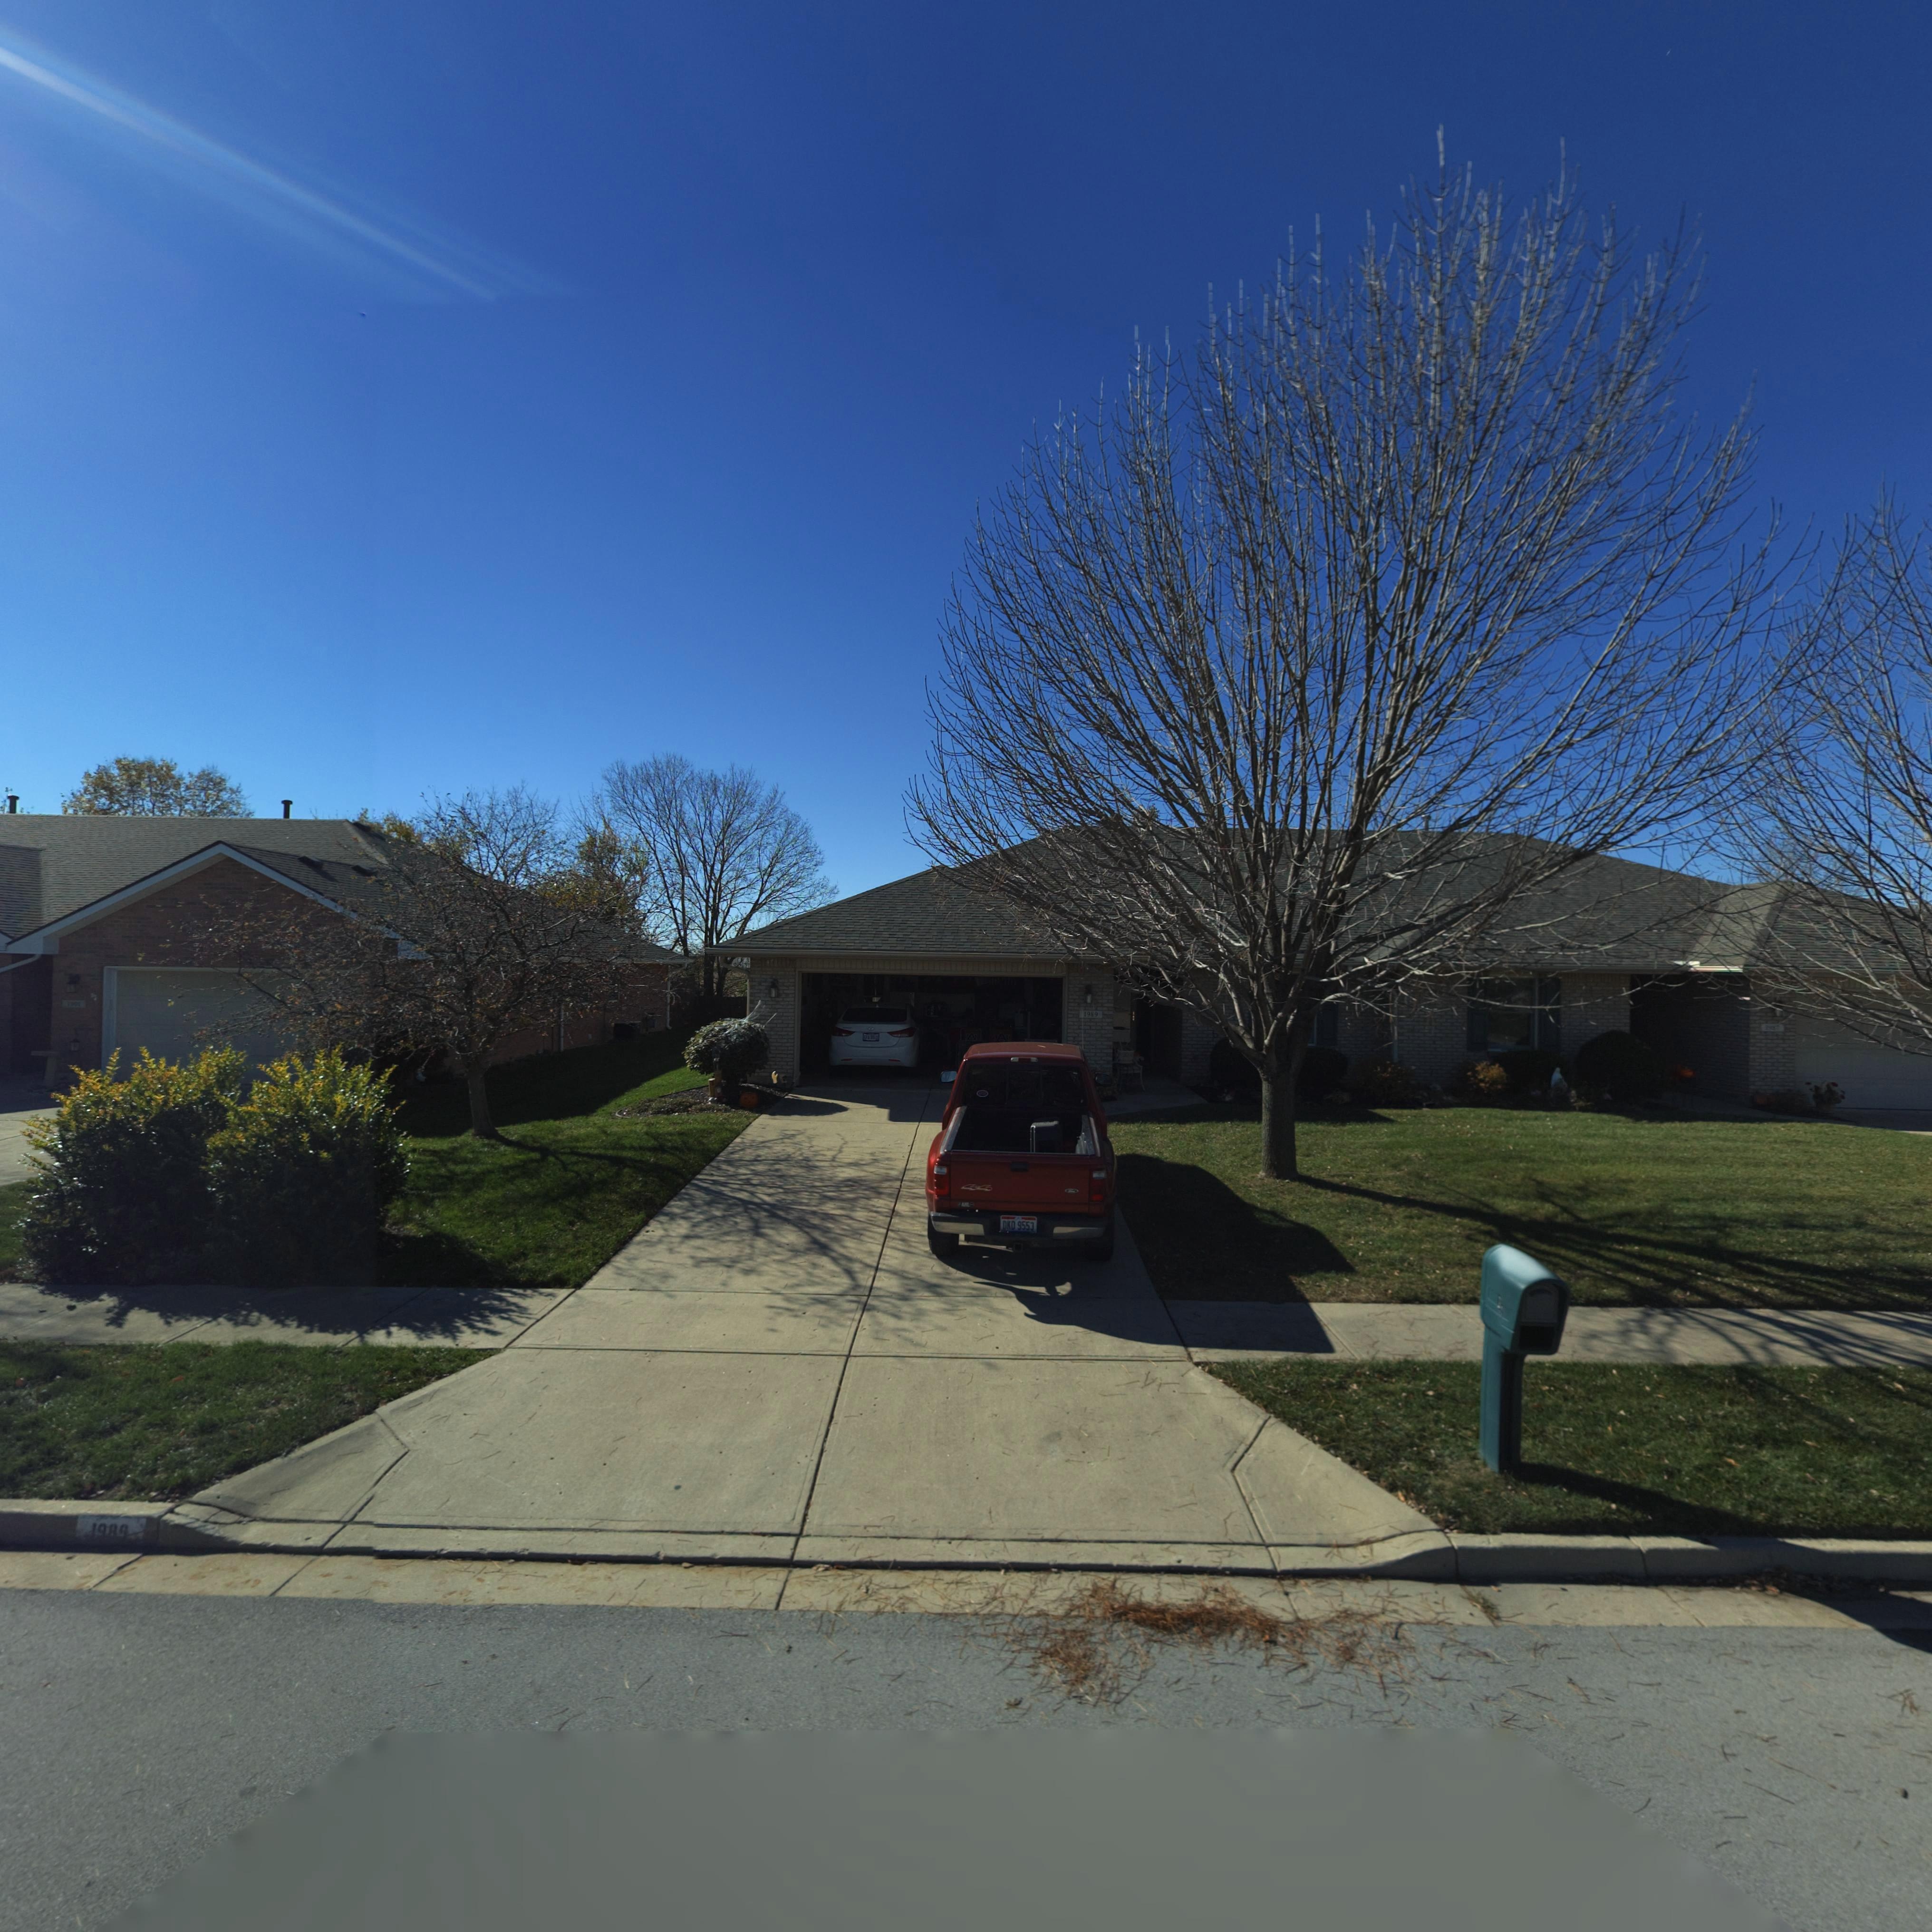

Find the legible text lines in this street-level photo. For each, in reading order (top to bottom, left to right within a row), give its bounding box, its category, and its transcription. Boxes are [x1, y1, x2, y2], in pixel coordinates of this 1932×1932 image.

[1083, 1011, 1099, 1017] StreetNumber: 1989
[89, 1521, 130, 1541] StreetNumber: 1989